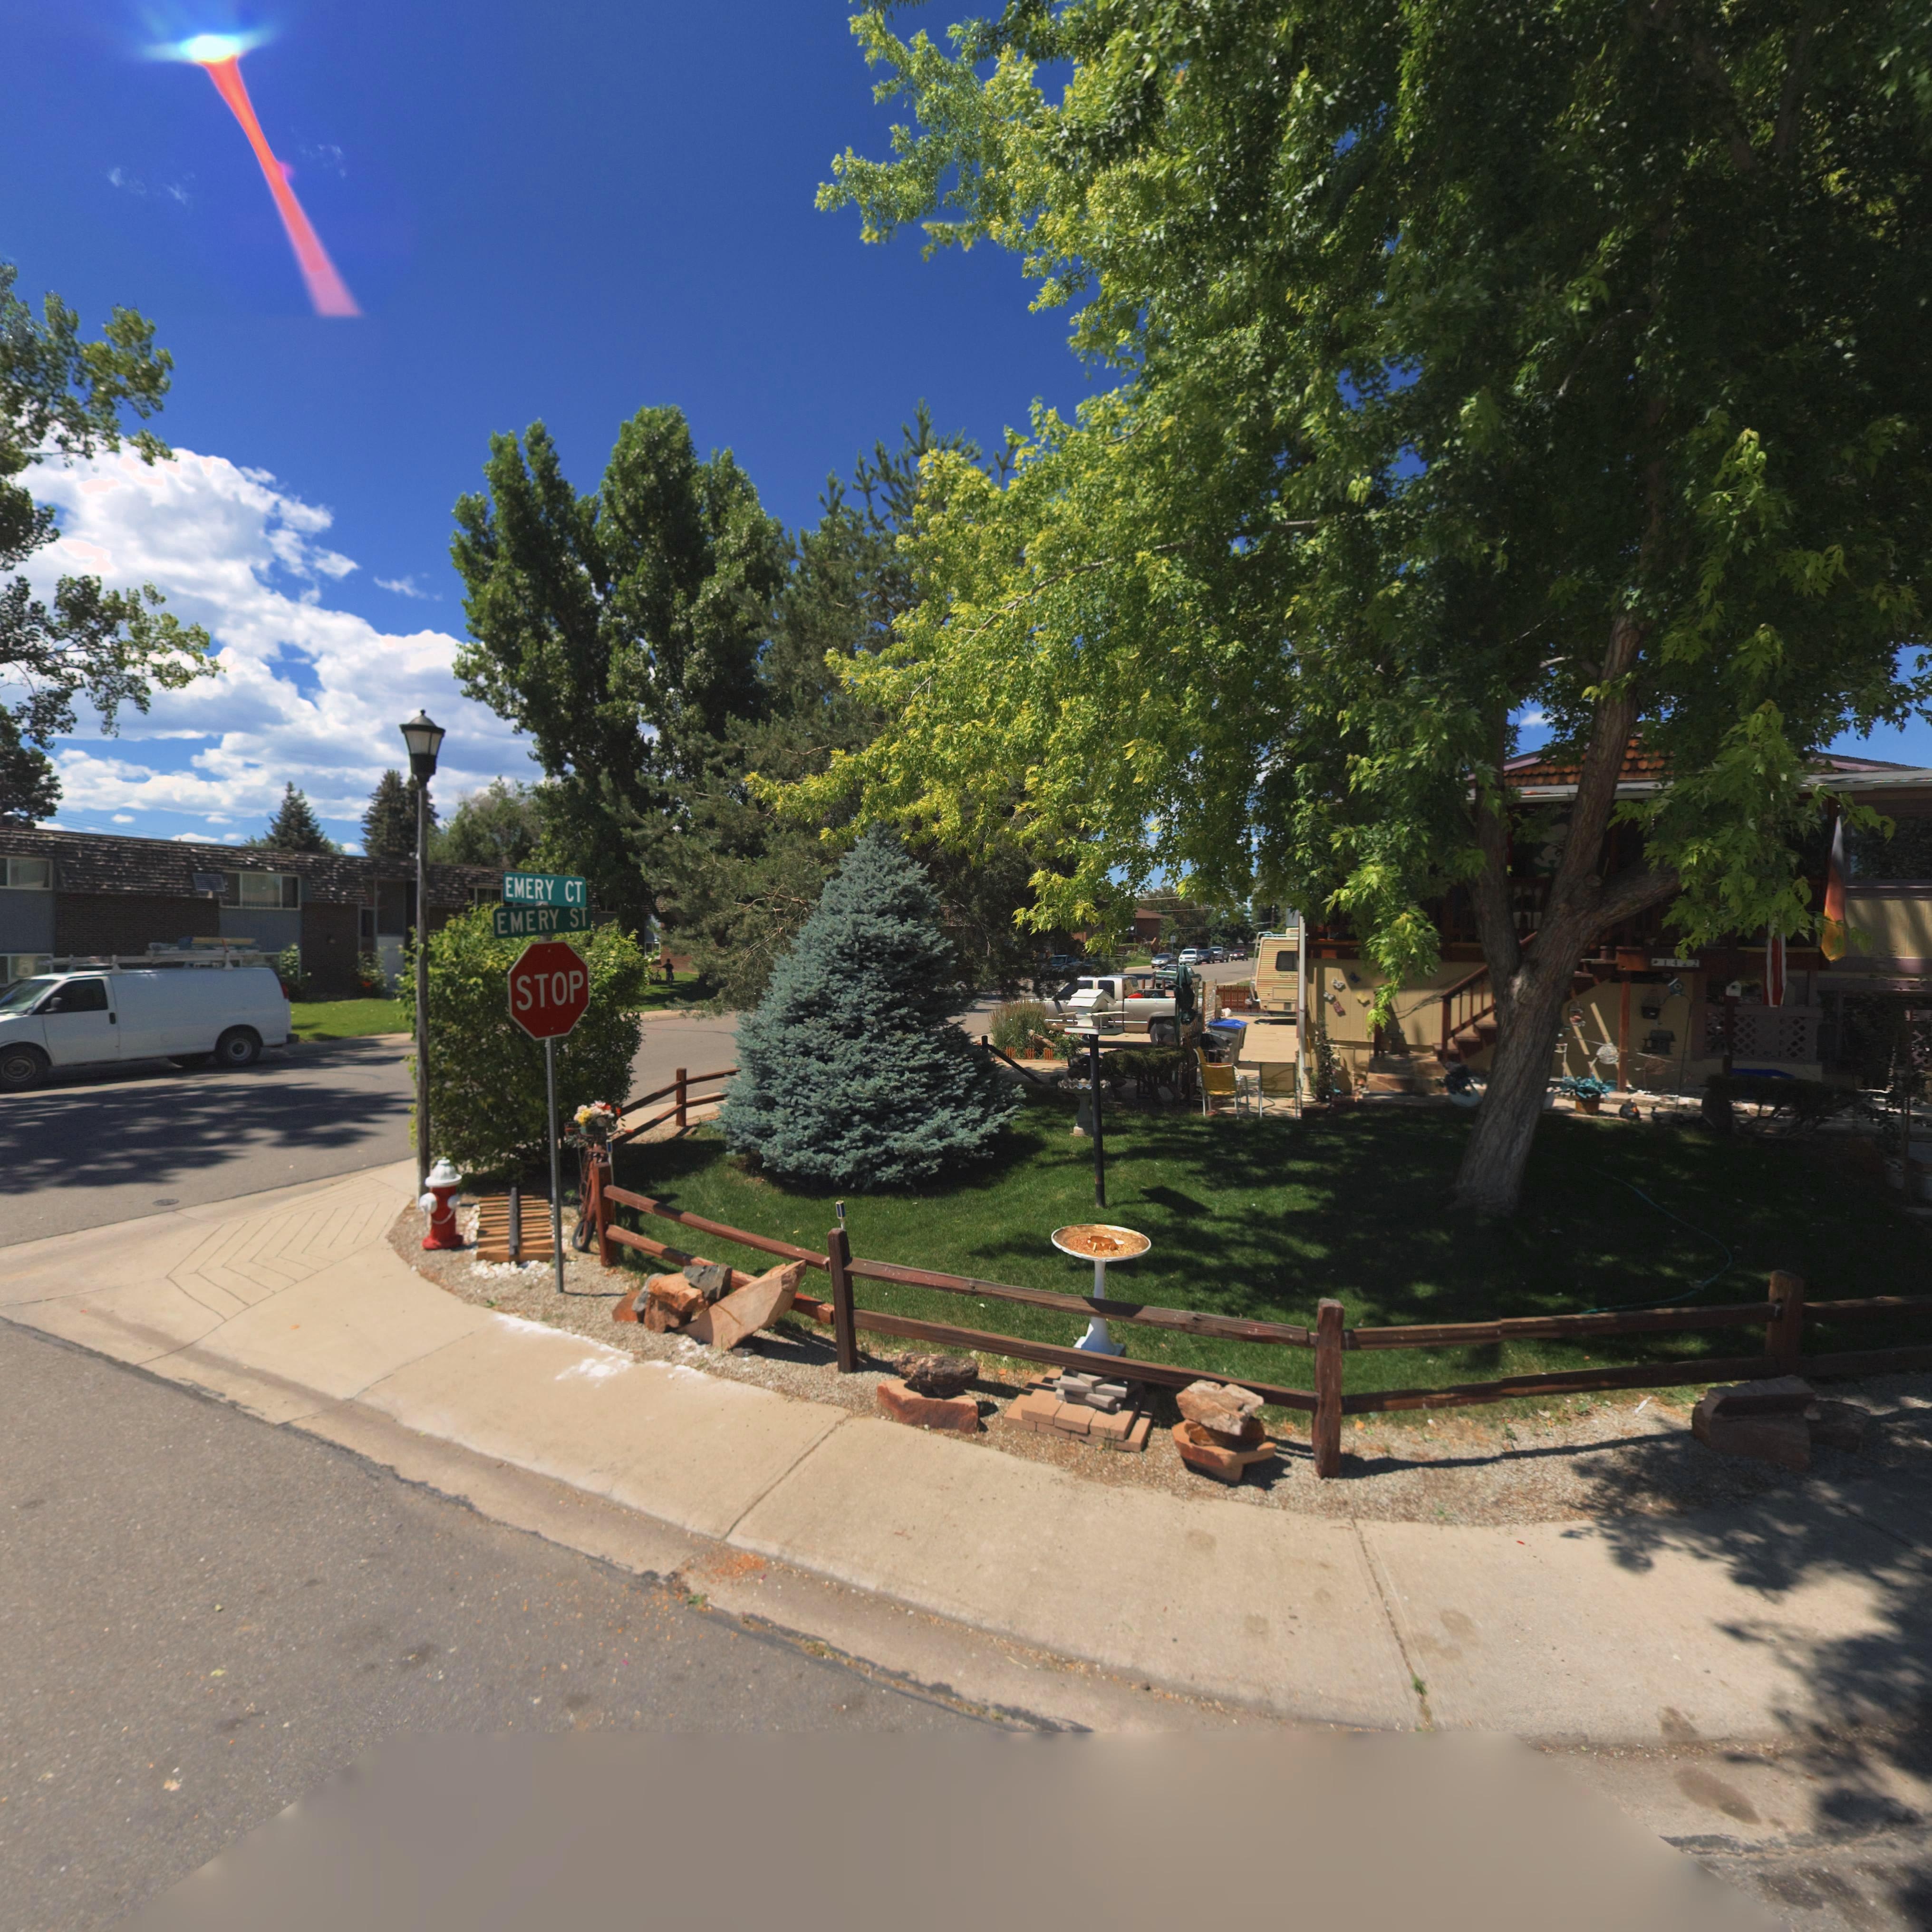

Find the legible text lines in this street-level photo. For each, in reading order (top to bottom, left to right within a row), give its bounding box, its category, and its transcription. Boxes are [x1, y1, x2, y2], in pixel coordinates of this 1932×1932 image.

[505, 876, 583, 903] StreetName: EMERY CT
[496, 906, 588, 935] StreetName: EMERY ST
[1663, 958, 1698, 967] StreetNumber: 14*2